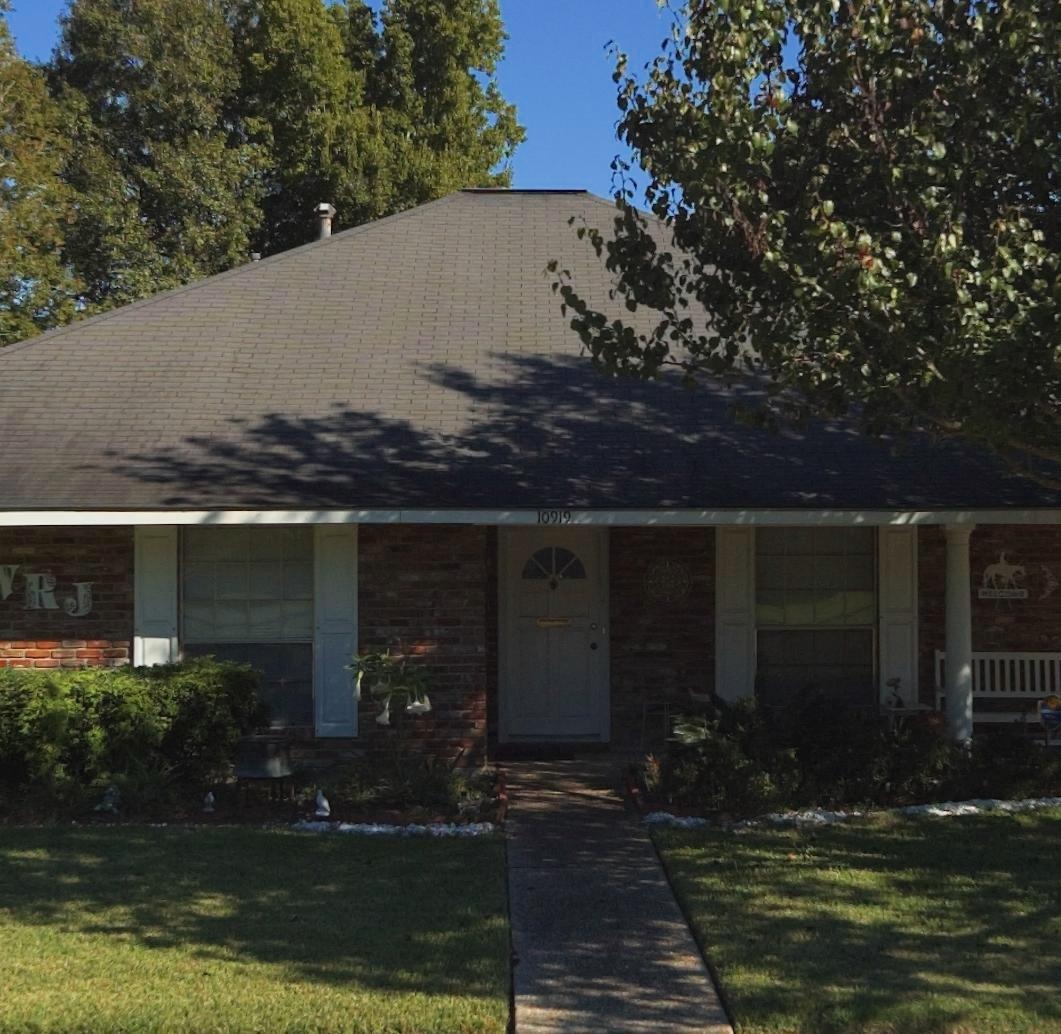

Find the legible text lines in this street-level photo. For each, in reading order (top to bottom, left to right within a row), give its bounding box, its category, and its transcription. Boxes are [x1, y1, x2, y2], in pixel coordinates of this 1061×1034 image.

[536, 509, 573, 525] StreetNumber: 10919
[20, 570, 96, 620] None: RJ